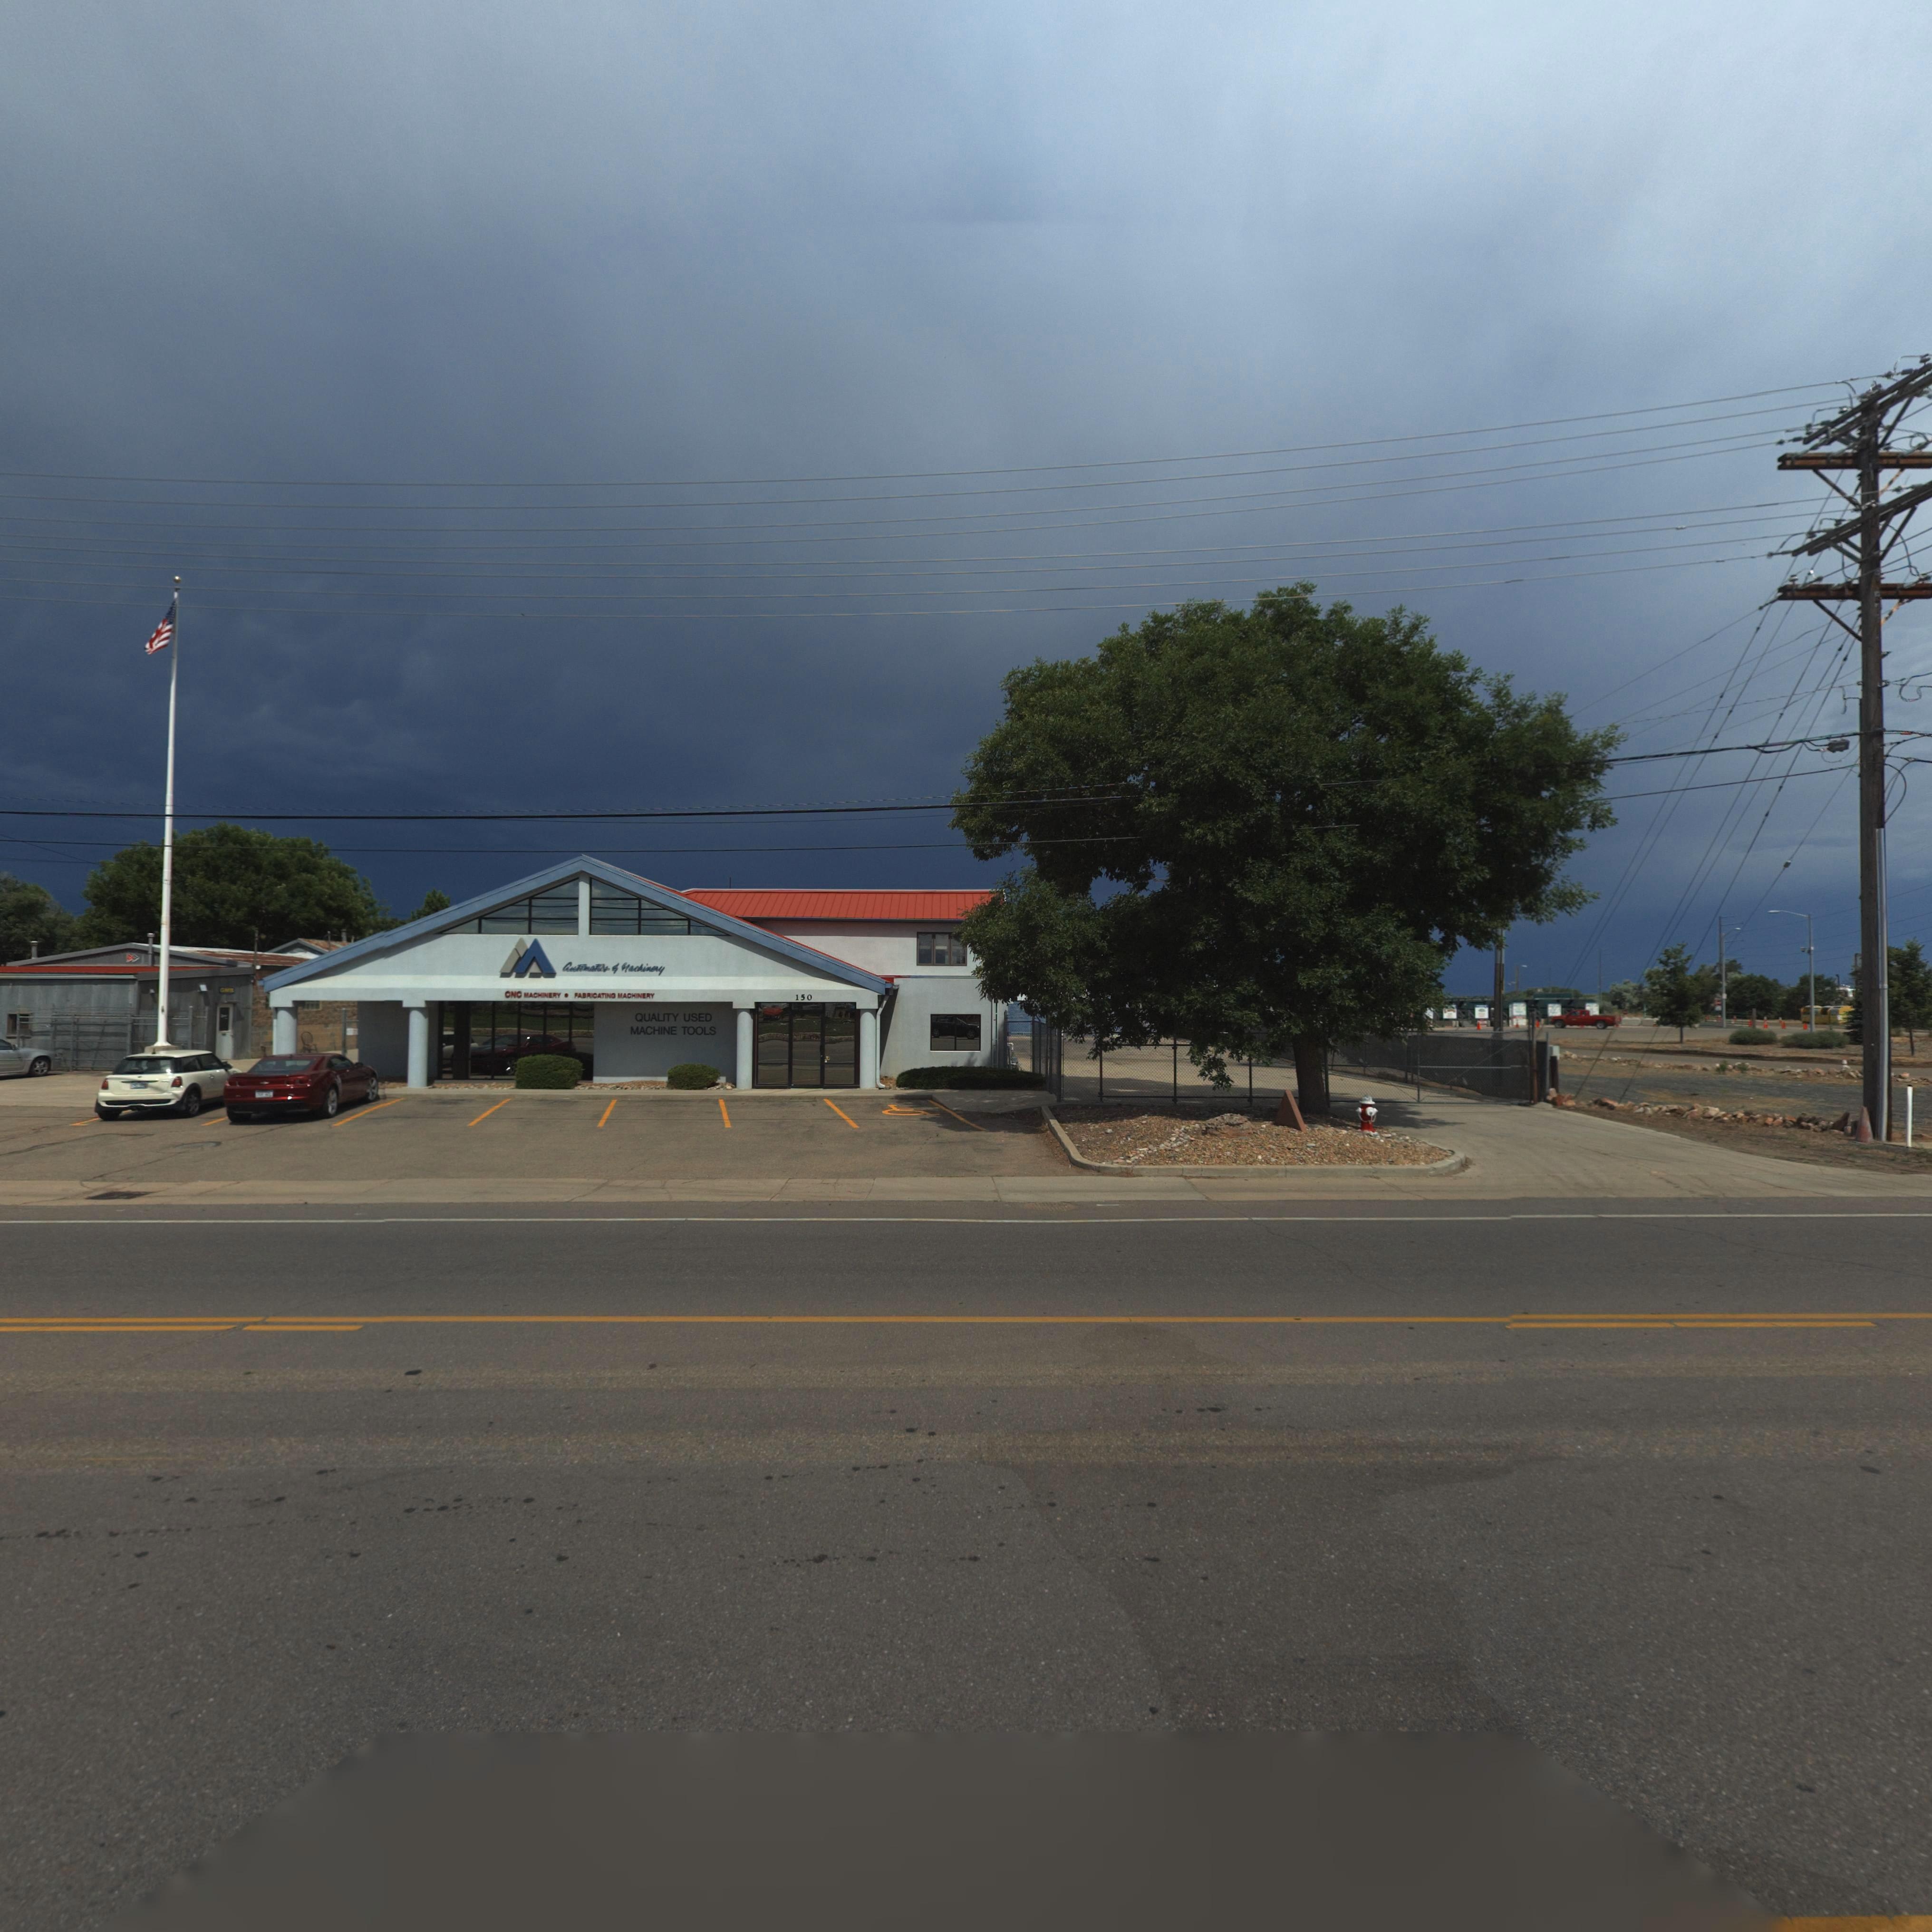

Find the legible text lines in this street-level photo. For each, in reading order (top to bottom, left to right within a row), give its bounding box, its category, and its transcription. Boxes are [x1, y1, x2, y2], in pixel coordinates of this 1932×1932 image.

[561, 959, 668, 976] BusinessName: Aut*matics * Machinery
[795, 994, 812, 1001] StreetNumber: 150
[629, 1026, 716, 1035] BusinessName: MACHINE TOOLS